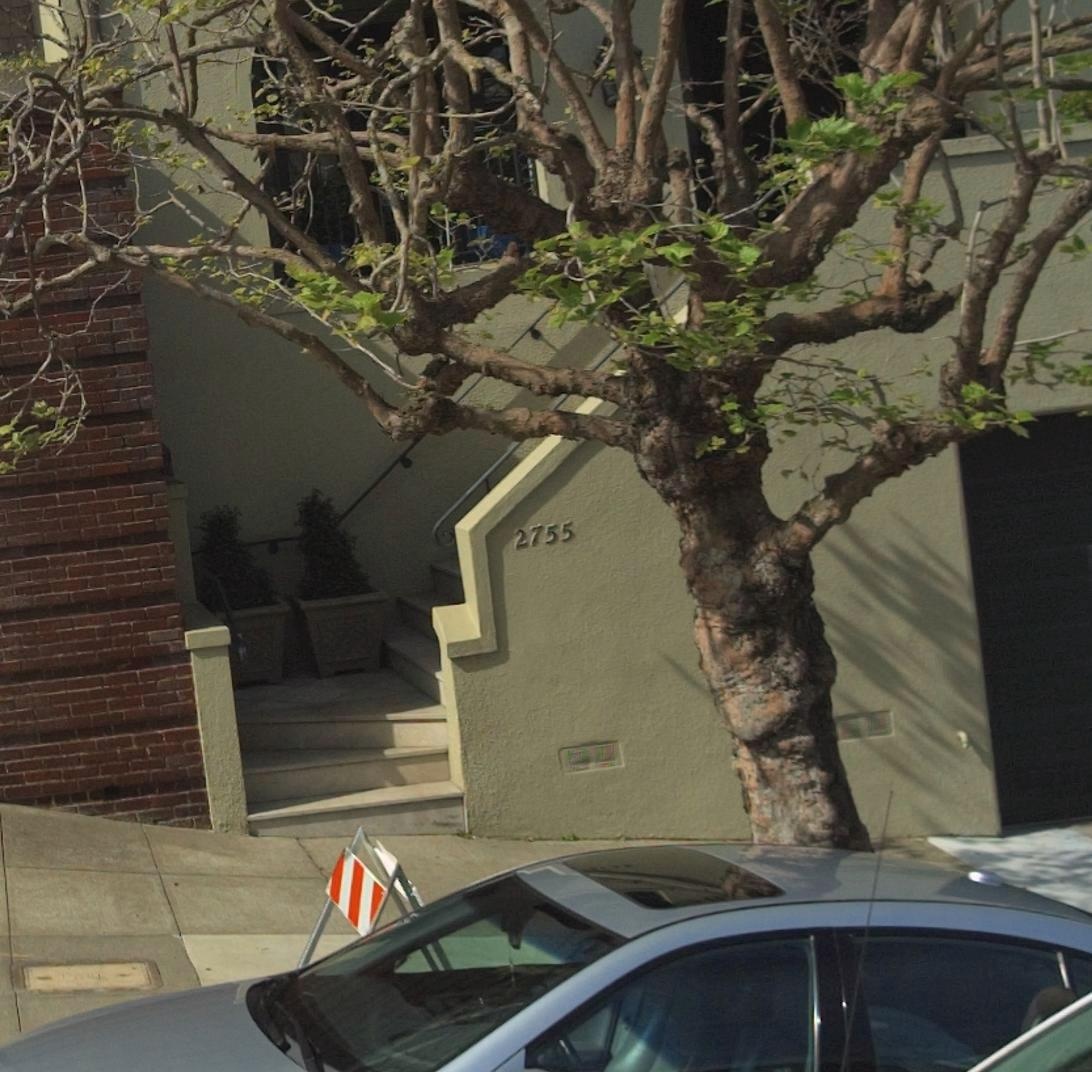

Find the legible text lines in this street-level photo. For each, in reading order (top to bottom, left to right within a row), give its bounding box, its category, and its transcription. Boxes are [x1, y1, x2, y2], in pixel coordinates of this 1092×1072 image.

[510, 518, 574, 551] StreetNumber: 2755